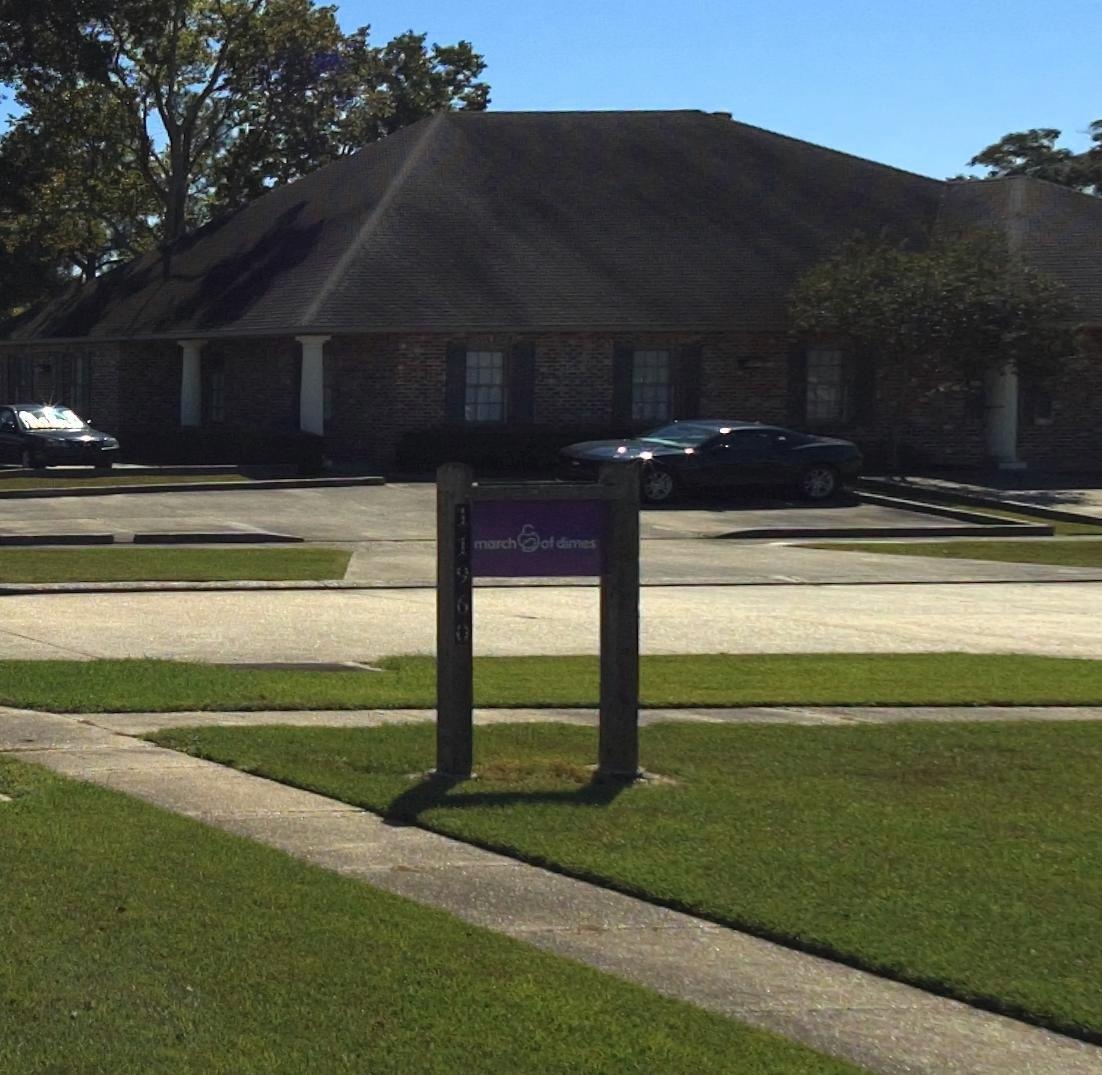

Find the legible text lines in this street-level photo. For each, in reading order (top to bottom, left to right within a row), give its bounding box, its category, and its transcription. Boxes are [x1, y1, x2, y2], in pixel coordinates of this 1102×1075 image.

[453, 502, 472, 648] StreetNumber: 11960
[471, 533, 600, 551] BusinessName: march*o* dimes